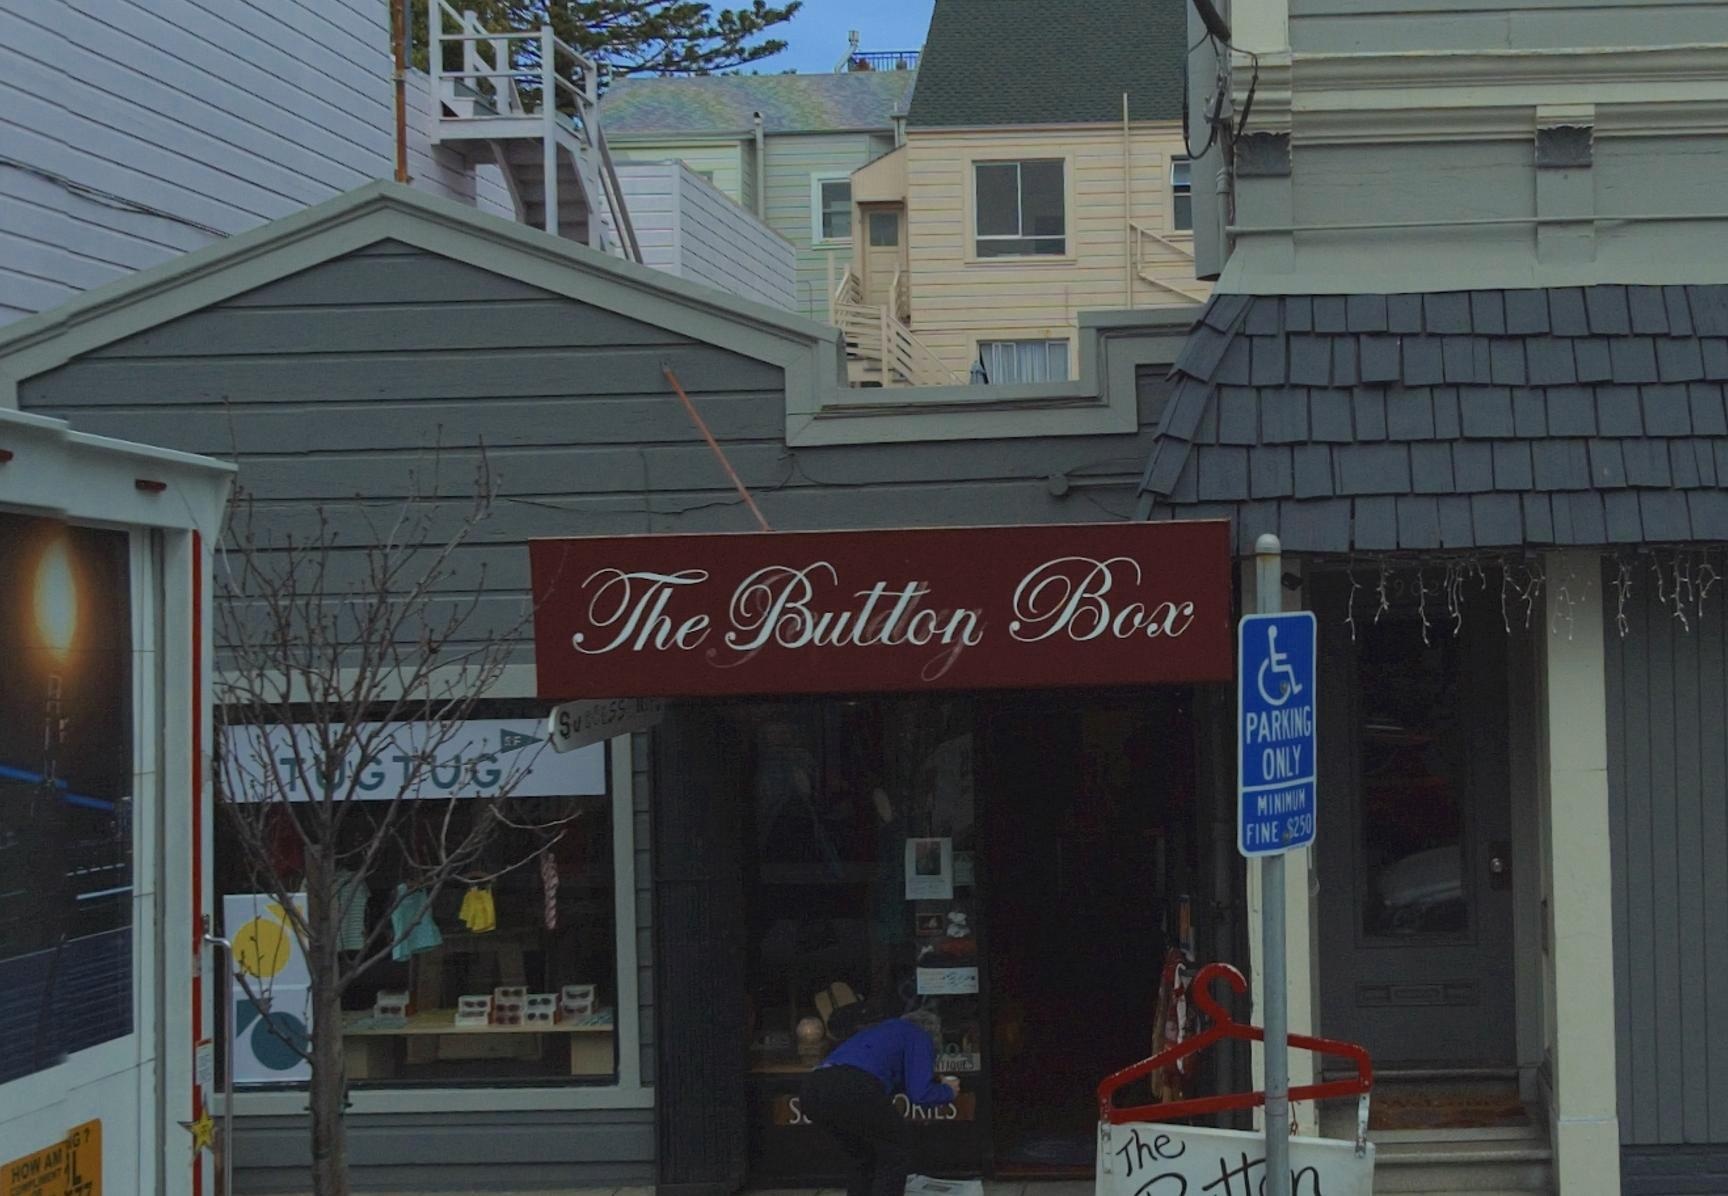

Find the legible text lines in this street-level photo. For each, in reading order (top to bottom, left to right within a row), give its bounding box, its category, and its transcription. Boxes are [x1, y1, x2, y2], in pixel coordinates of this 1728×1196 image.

[568, 553, 1208, 656] BusinessName: The Button Box 
[1372, 576, 1441, 601] StreetNumber: *902
[503, 734, 522, 748] None: SF
[558, 696, 627, 741] None: SUCCESS
[1243, 702, 1314, 747] None: PARKING
[1260, 742, 1304, 782] None: ONLY
[1256, 785, 1308, 818] None: MINIMUM
[1245, 811, 1312, 847] None: FINE $250
[938, 1058, 976, 1071] None: TIQUES
[944, 1034, 975, 1060] None: o*
[788, 1095, 802, 1126] None: S
[10, 1145, 64, 1187] None: HOW AM
[72, 1148, 84, 1188] None: L
[70, 1125, 92, 1150] None: G?
[1112, 1127, 1189, 1179] None: The
[1288, 1163, 1322, 1196] None: n